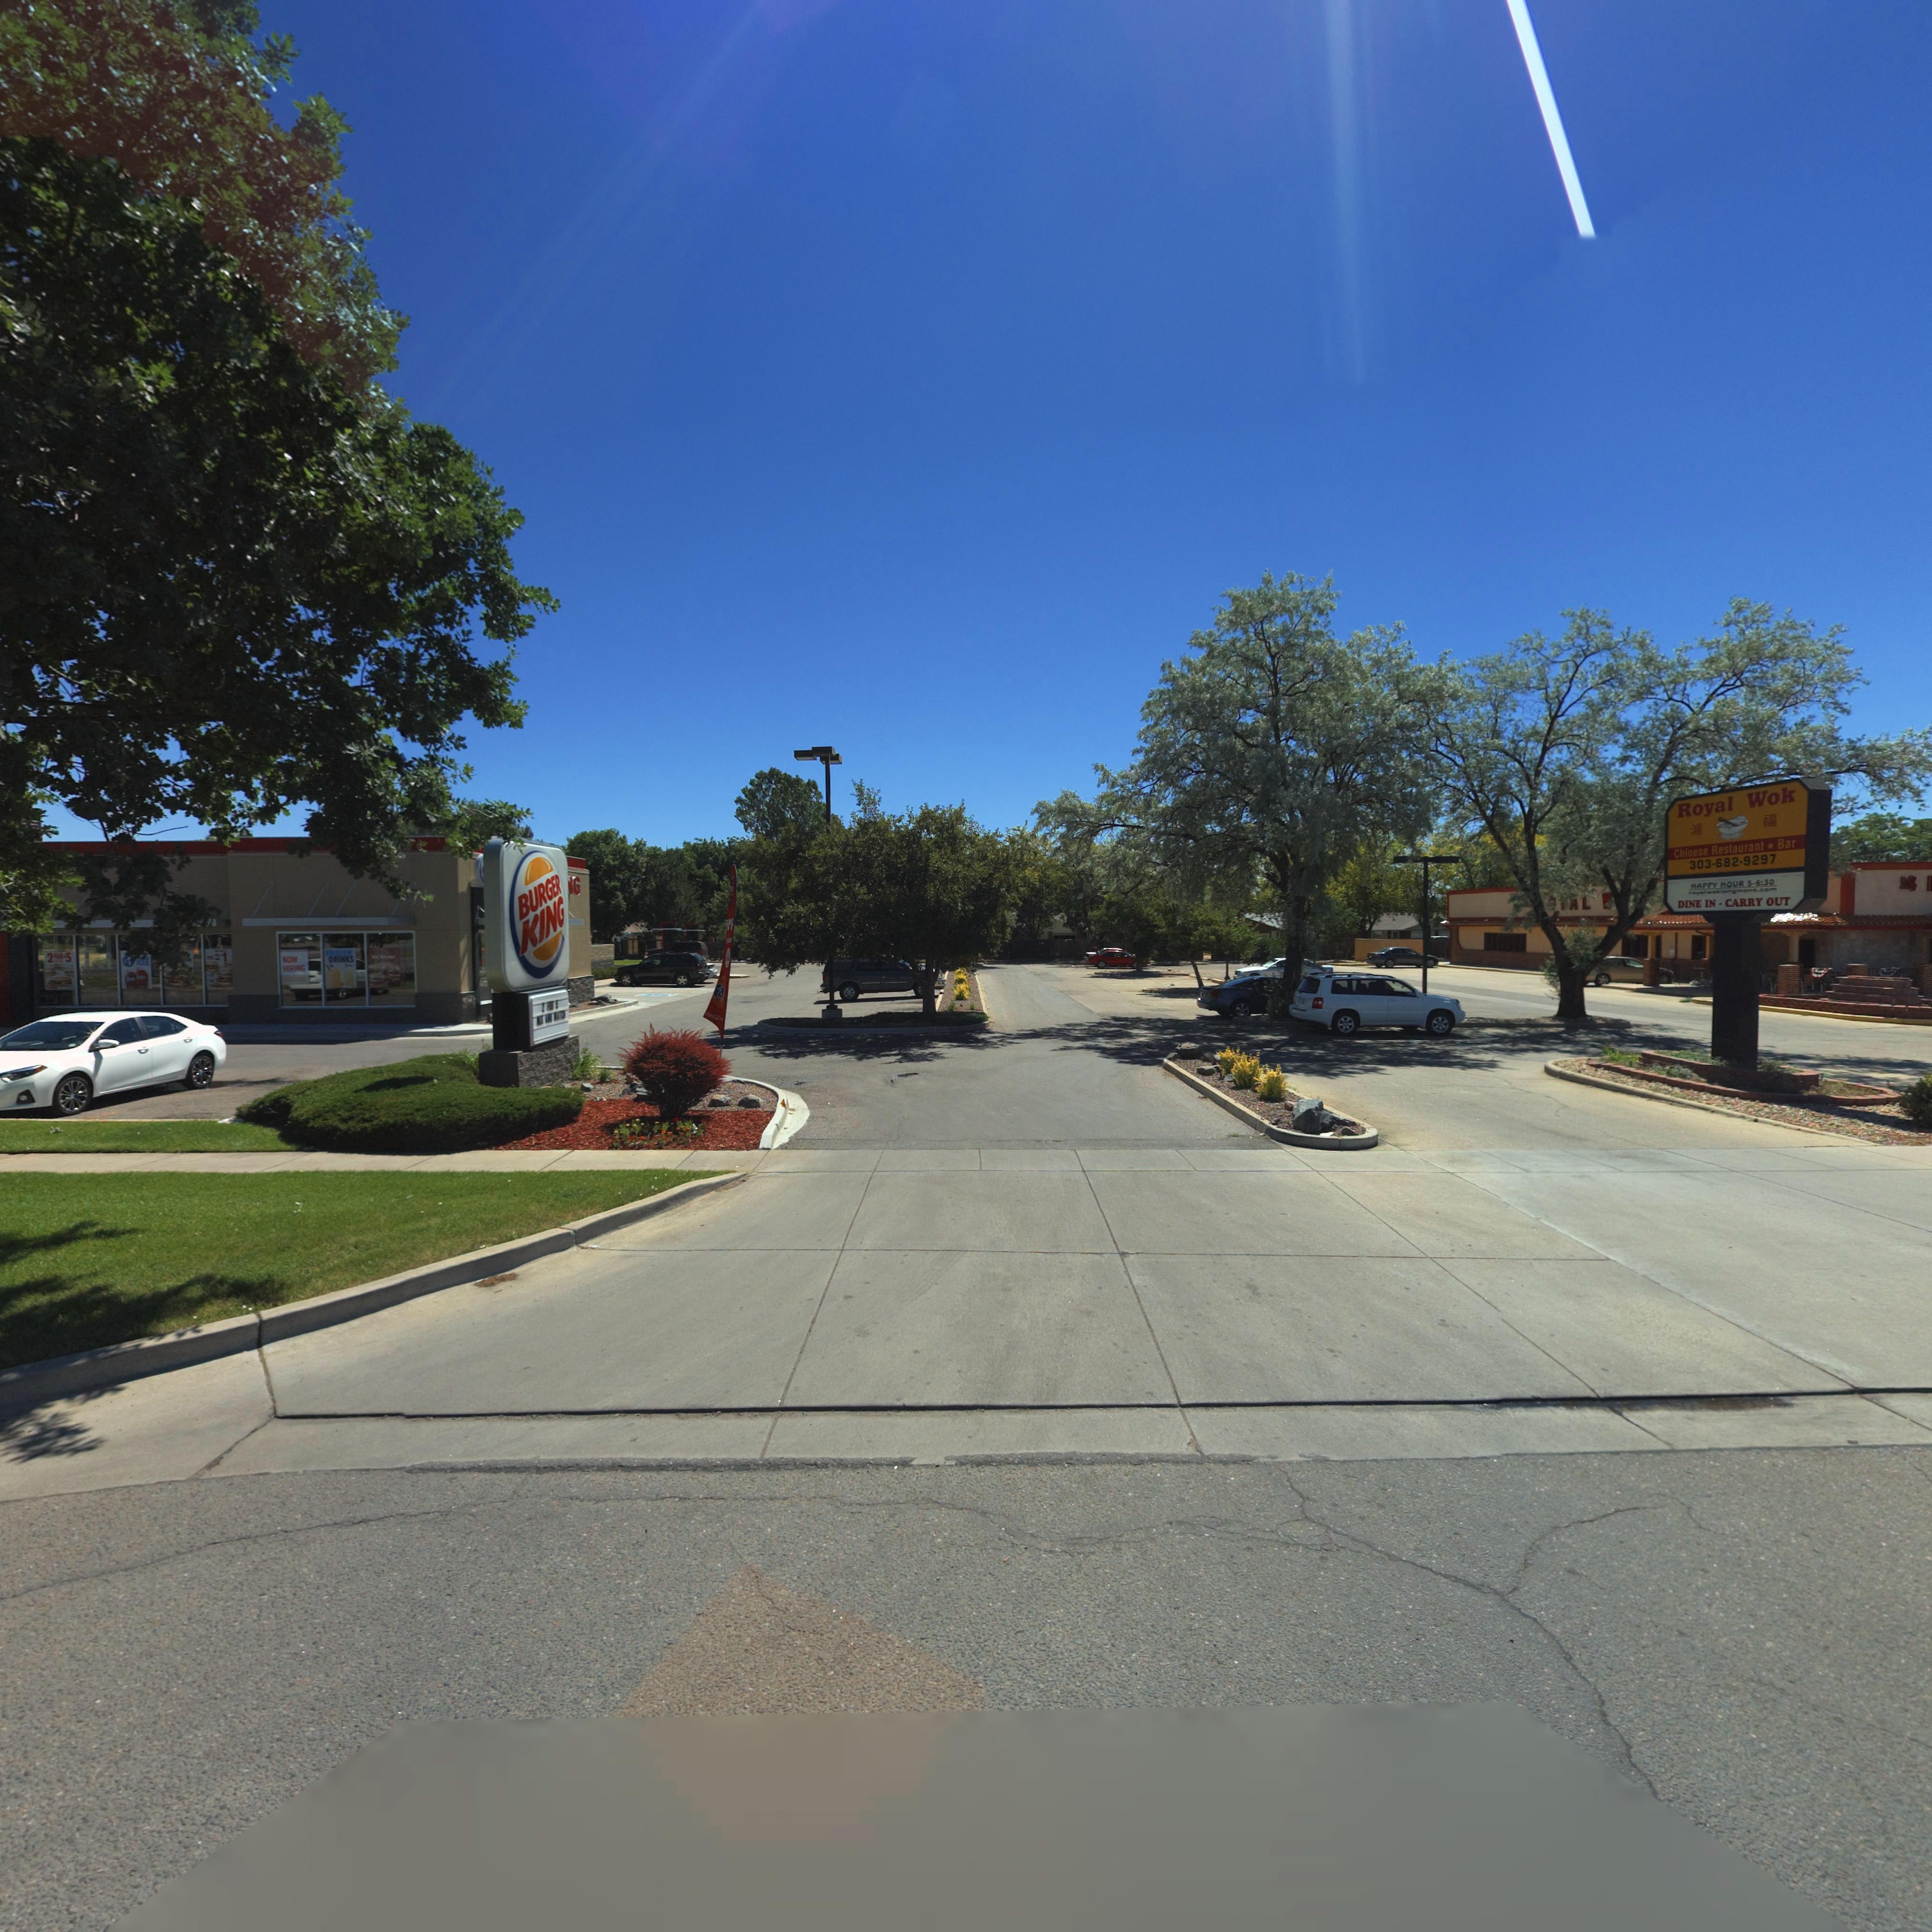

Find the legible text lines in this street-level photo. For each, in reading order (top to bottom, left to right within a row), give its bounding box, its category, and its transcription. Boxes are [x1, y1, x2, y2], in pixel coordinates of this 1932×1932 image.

[1677, 786, 1796, 818] BusinessName: Royal Wok
[517, 873, 562, 921] BusinessName: BURGER
[572, 876, 580, 896] BusinessName: G
[520, 895, 565, 957] BusinessName: KING